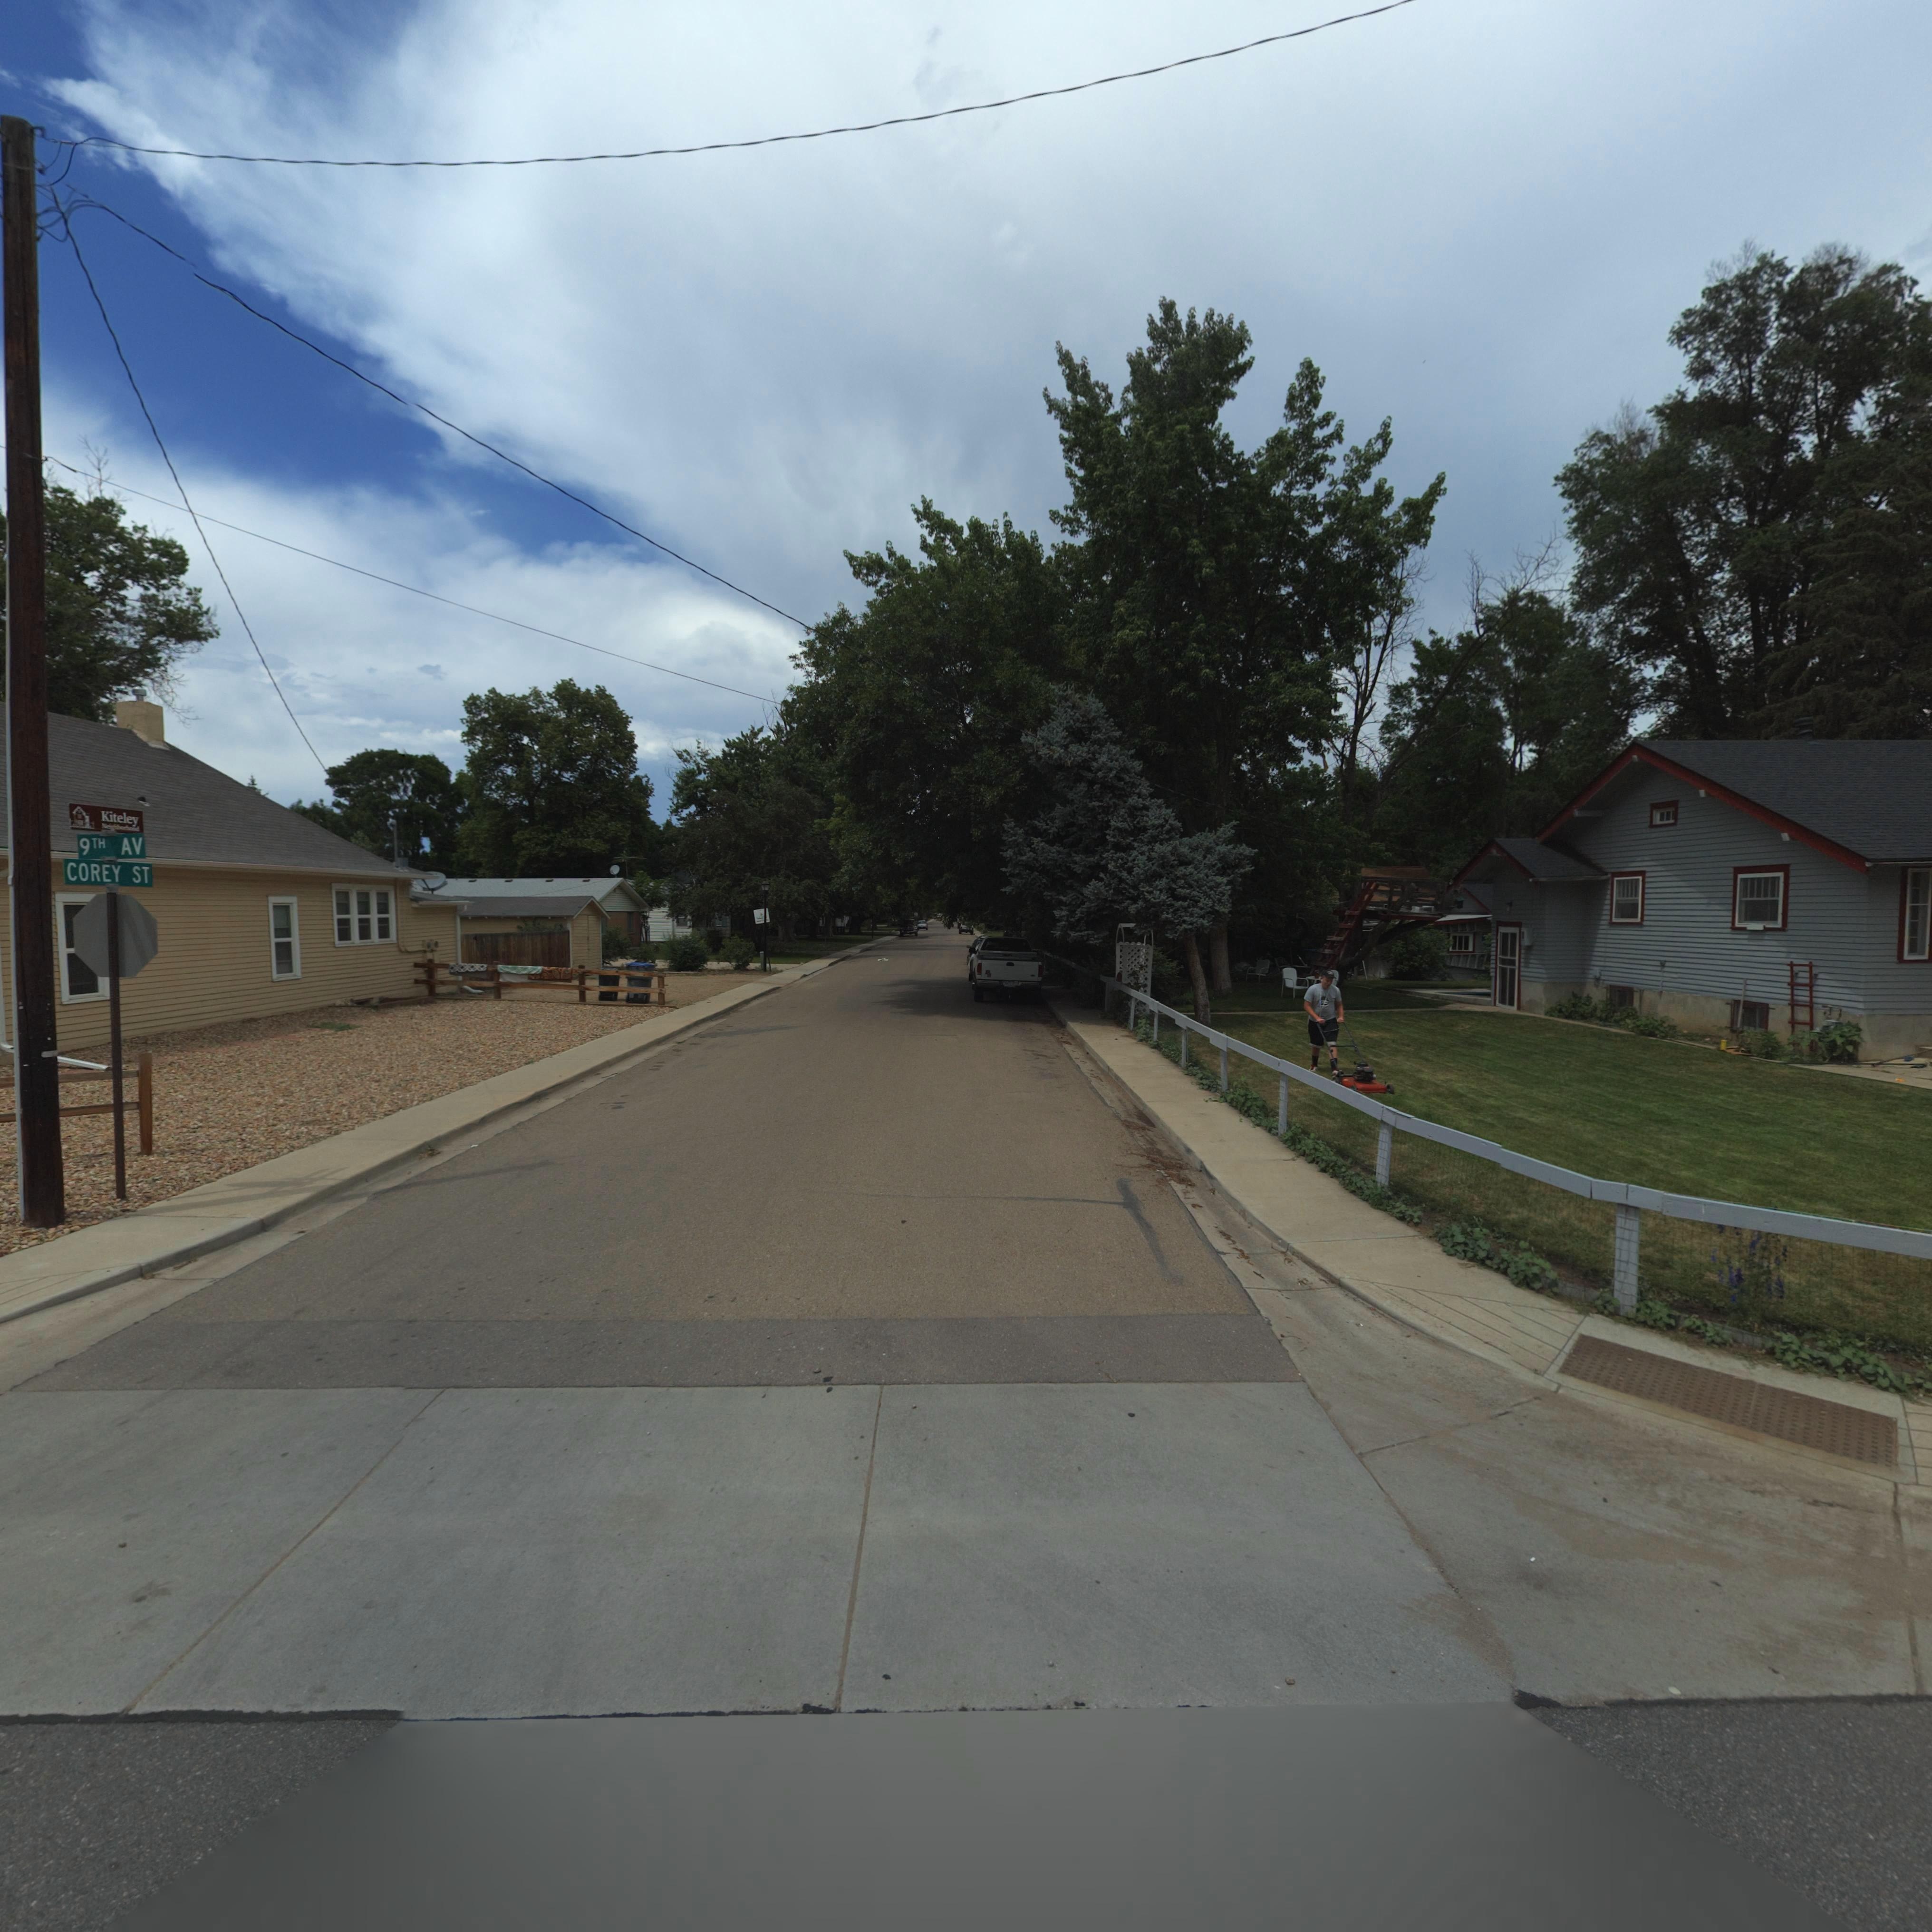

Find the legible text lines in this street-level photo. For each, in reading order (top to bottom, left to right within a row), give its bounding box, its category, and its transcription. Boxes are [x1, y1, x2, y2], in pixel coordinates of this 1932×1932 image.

[79, 837, 143, 855] StreetName: 9TH AV
[68, 862, 150, 884] StreetName: COREY ST